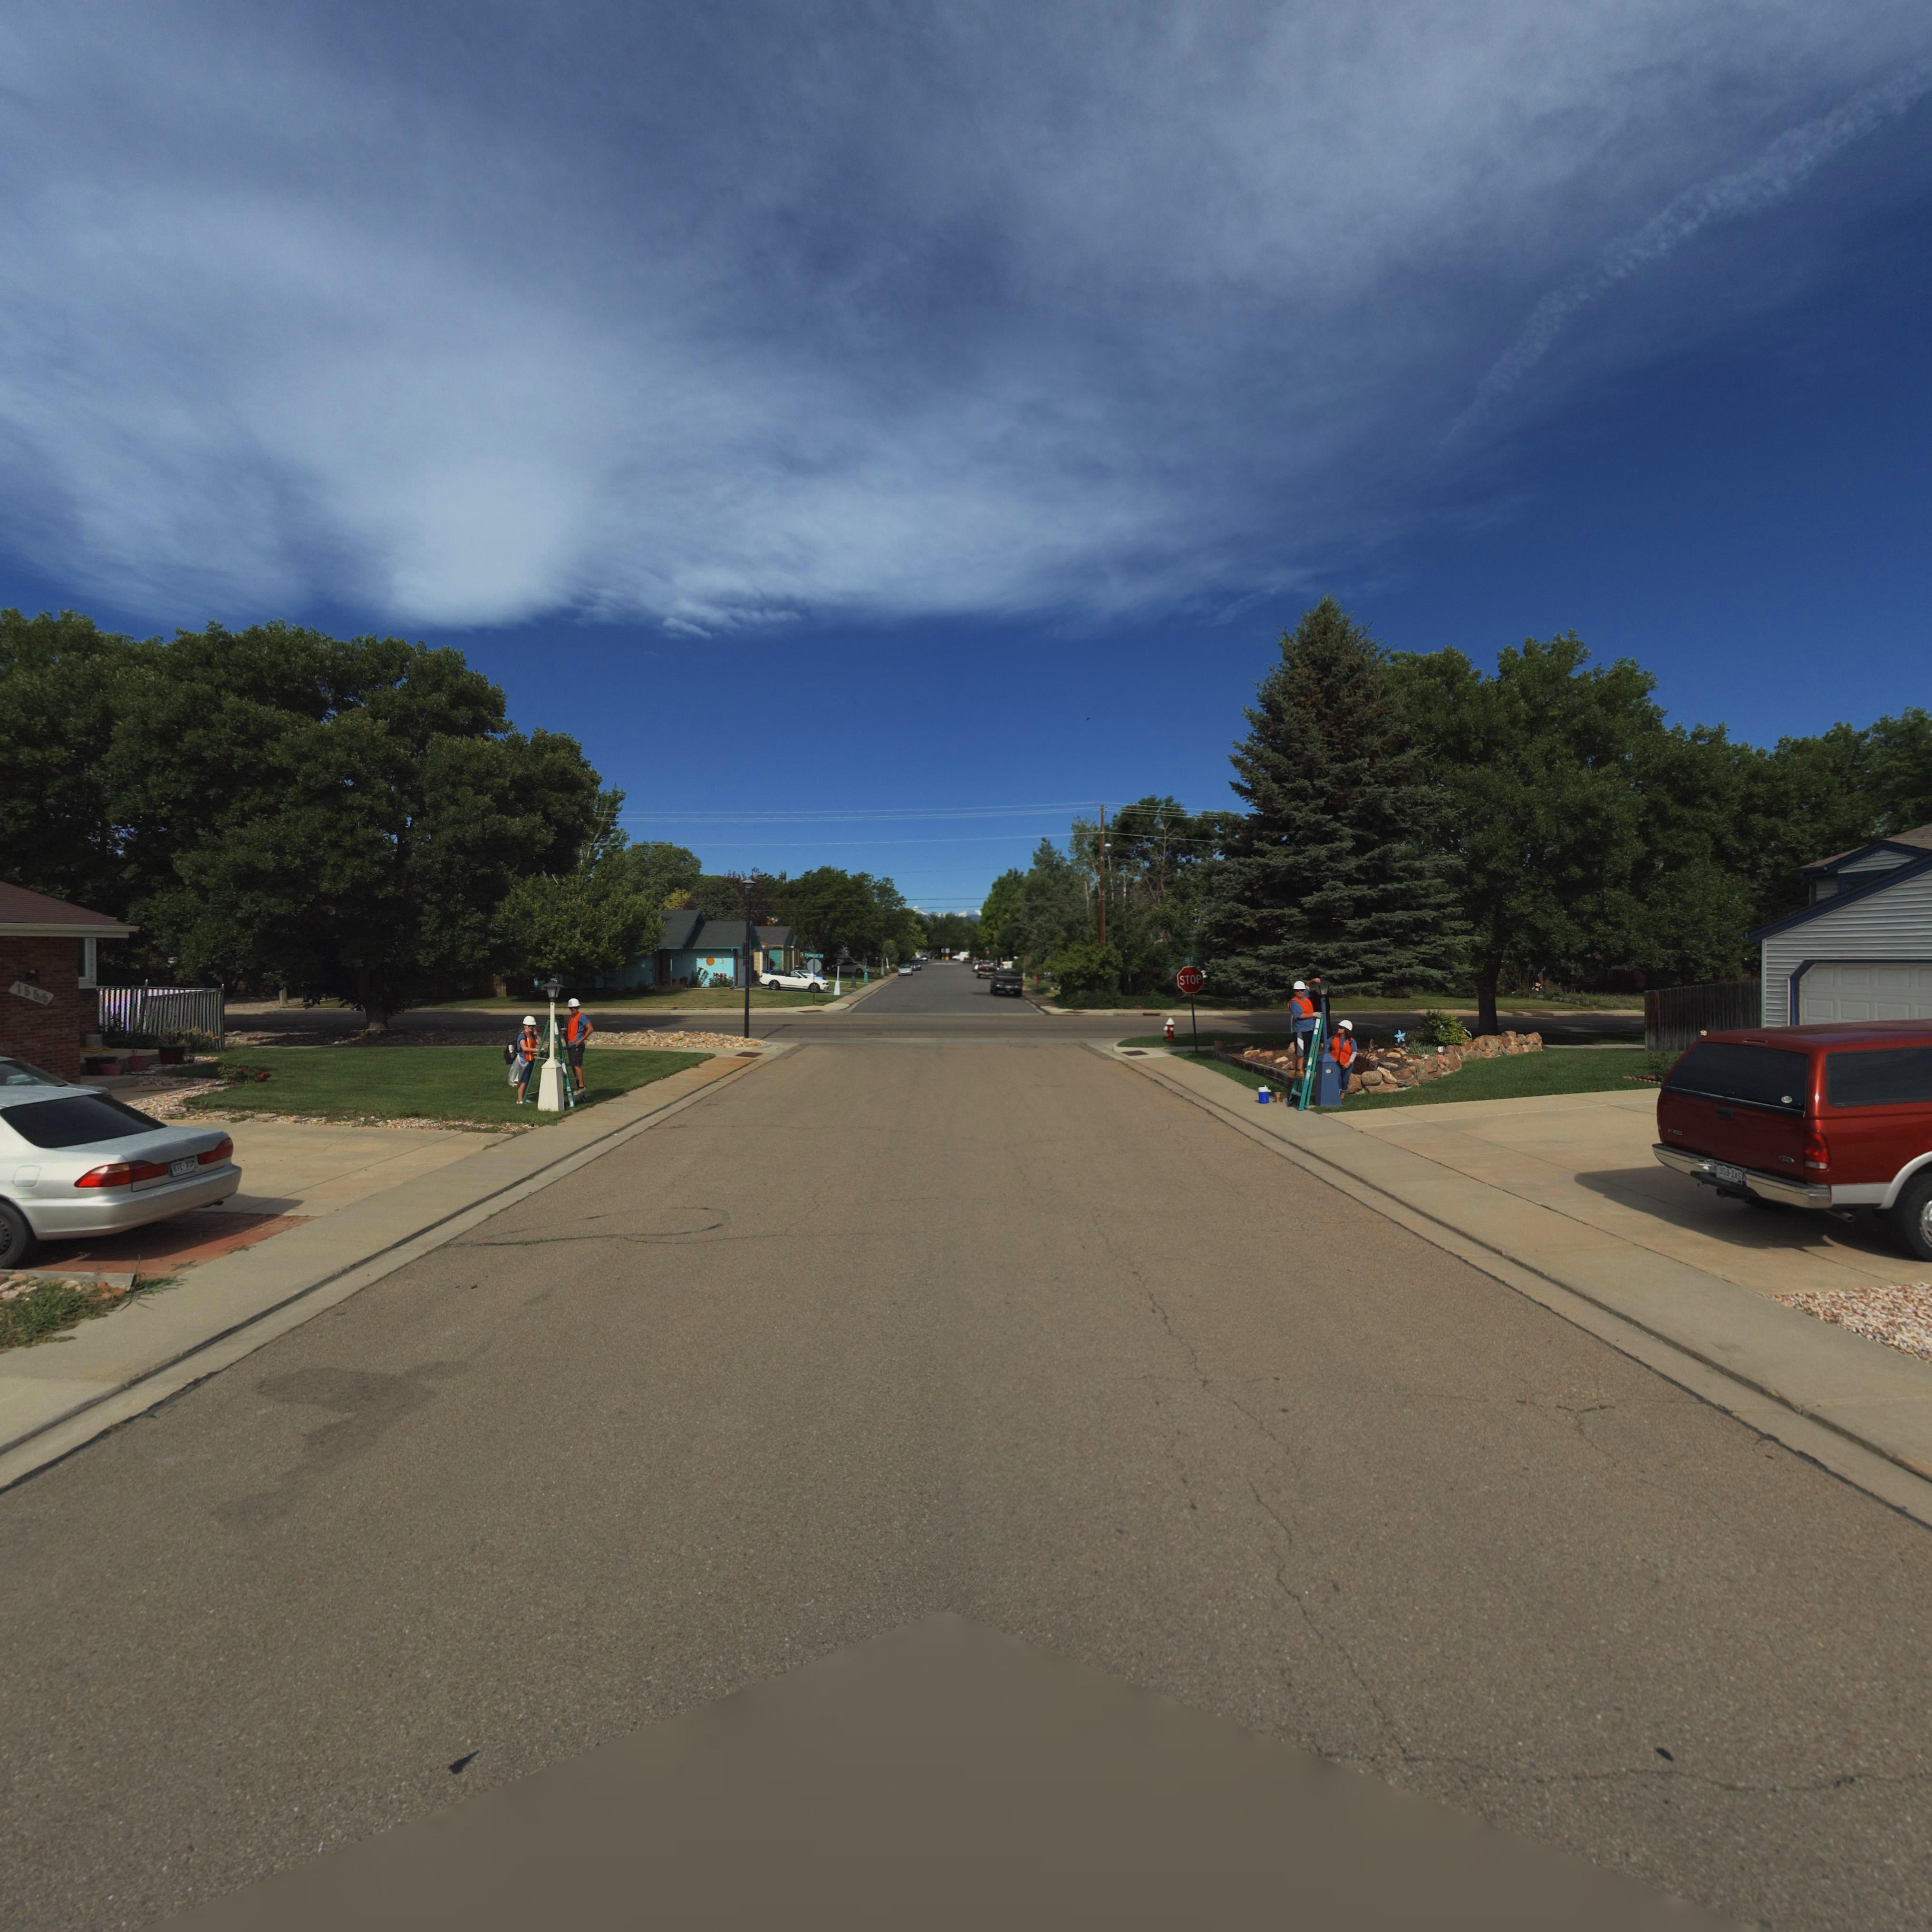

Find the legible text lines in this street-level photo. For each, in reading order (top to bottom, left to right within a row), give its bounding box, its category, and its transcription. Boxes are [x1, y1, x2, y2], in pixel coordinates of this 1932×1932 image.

[14, 983, 51, 1005] StreetNumber: 1555